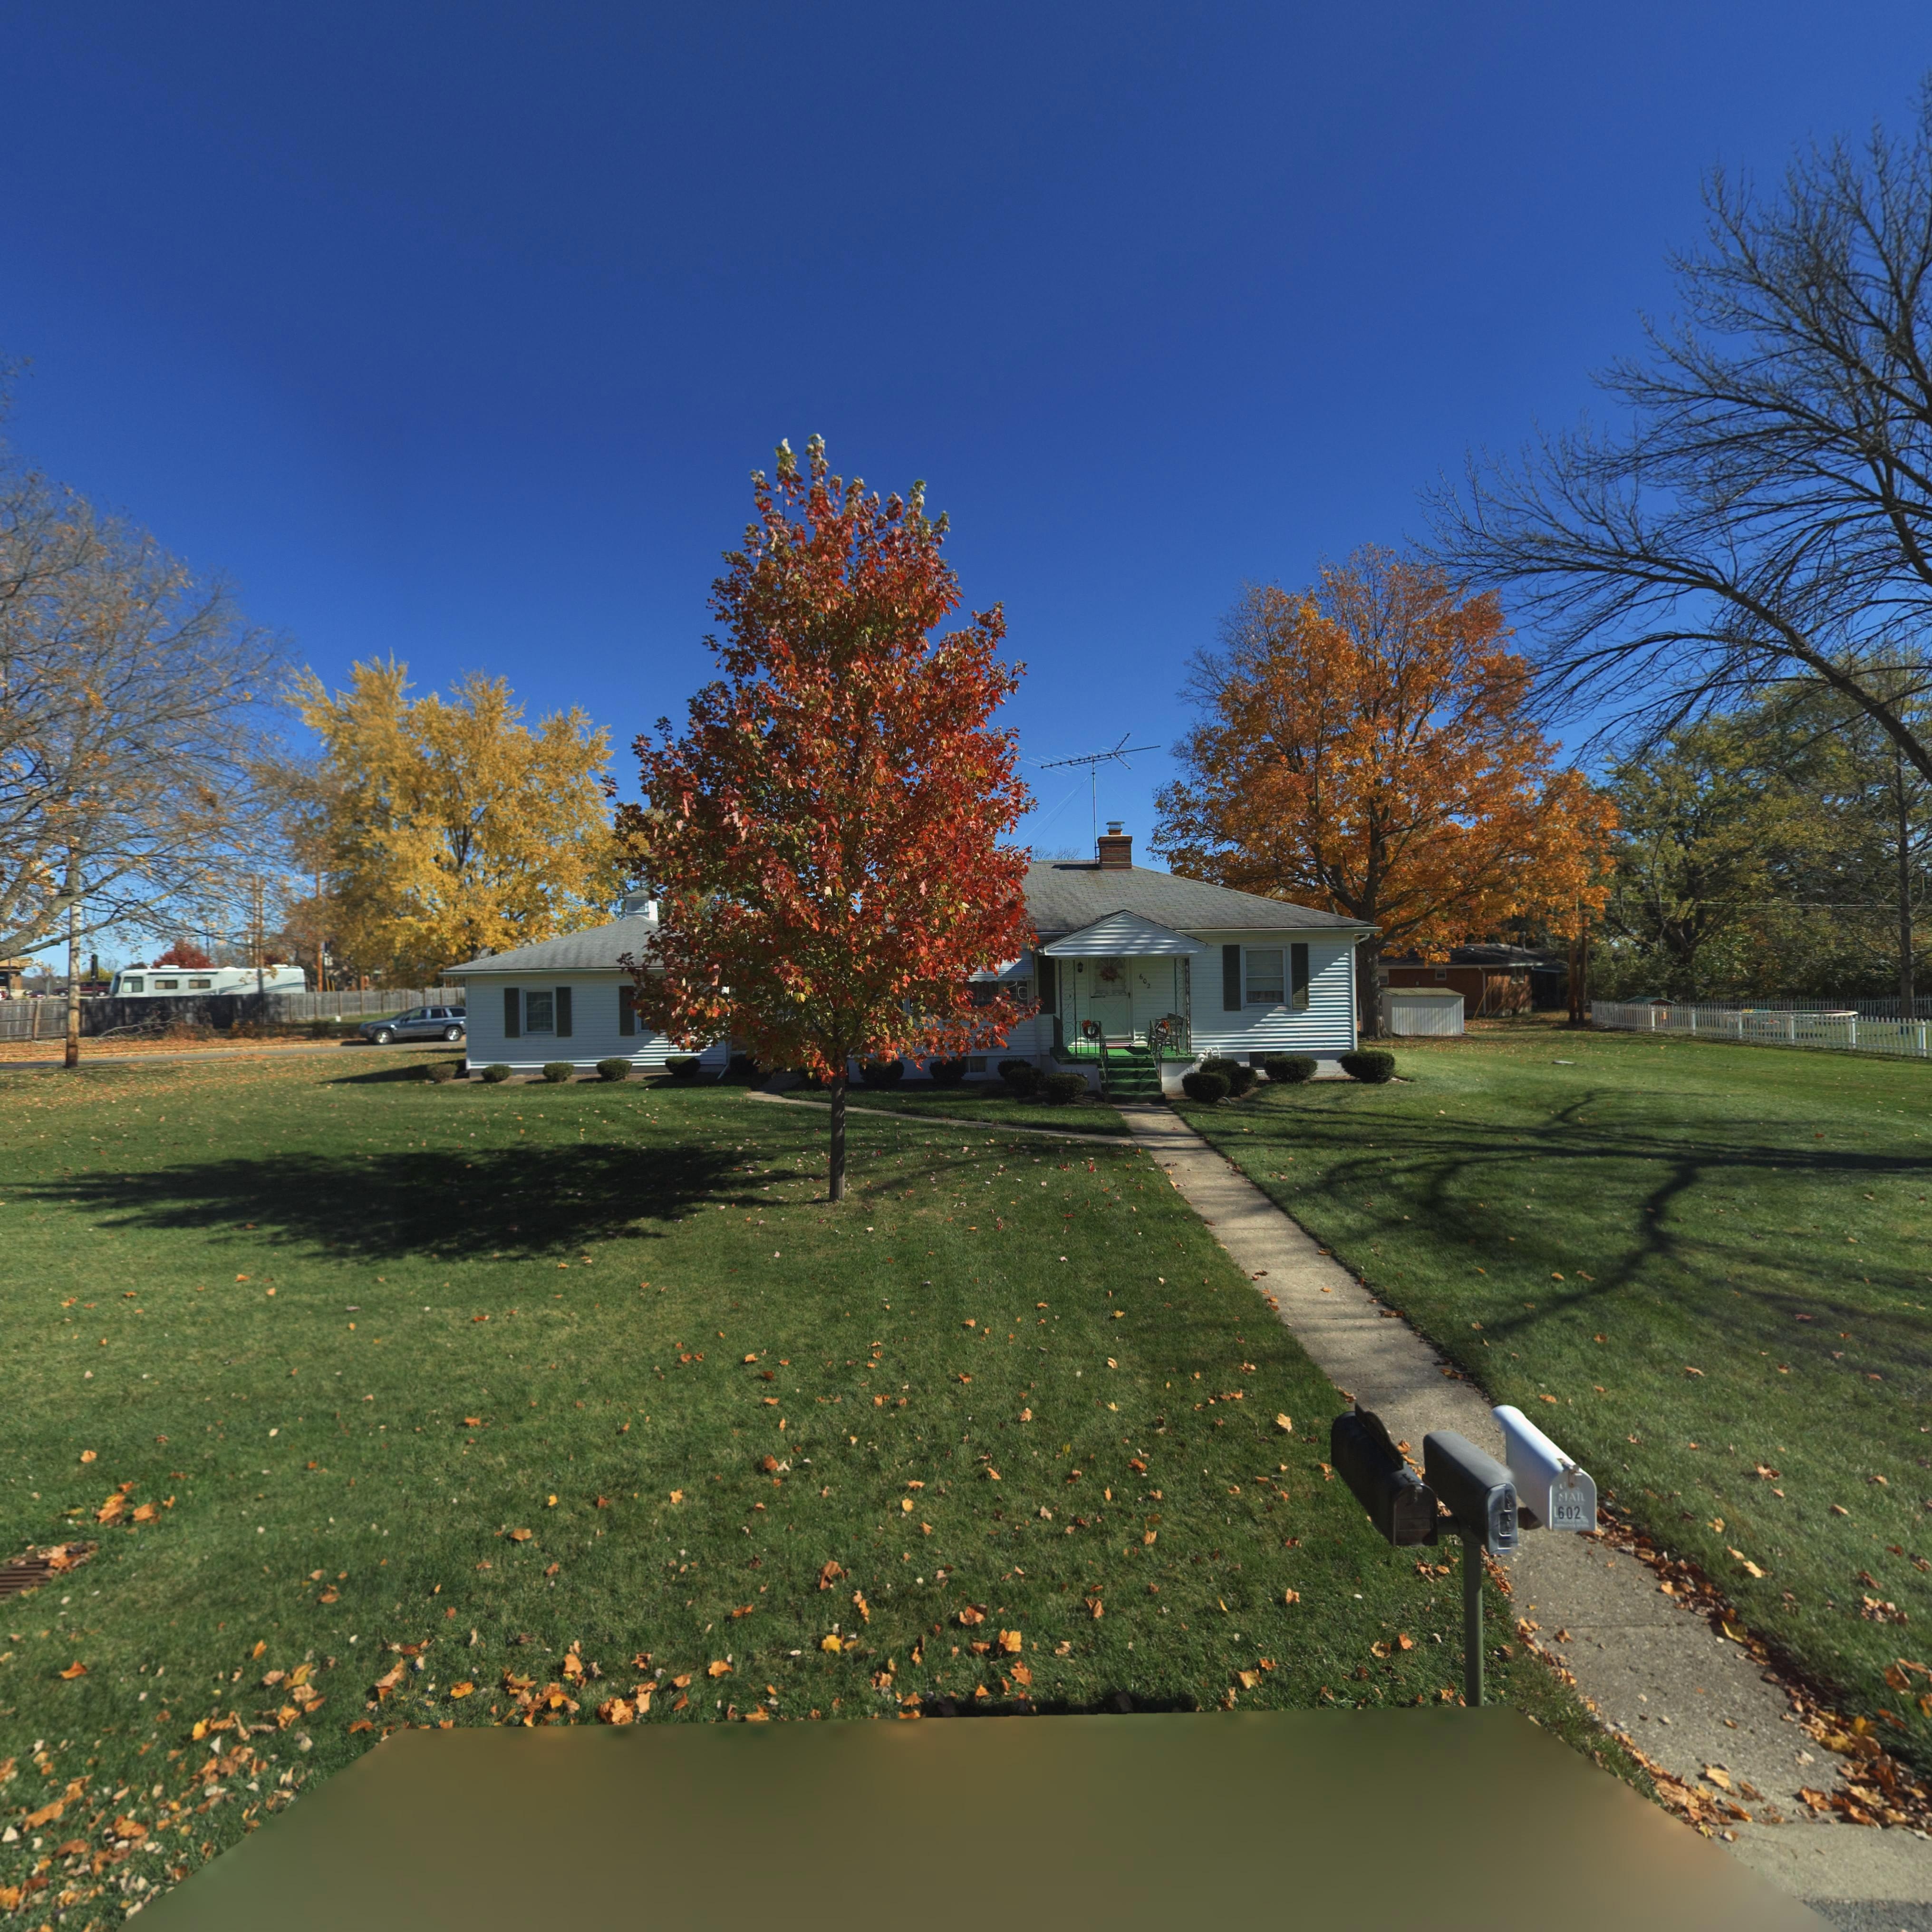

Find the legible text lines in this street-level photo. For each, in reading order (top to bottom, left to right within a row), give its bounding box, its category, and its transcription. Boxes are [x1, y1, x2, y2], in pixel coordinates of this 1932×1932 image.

[1139, 973, 1151, 989] StreetNumber: 602
[1557, 1506, 1581, 1519] StreetNumber: 602